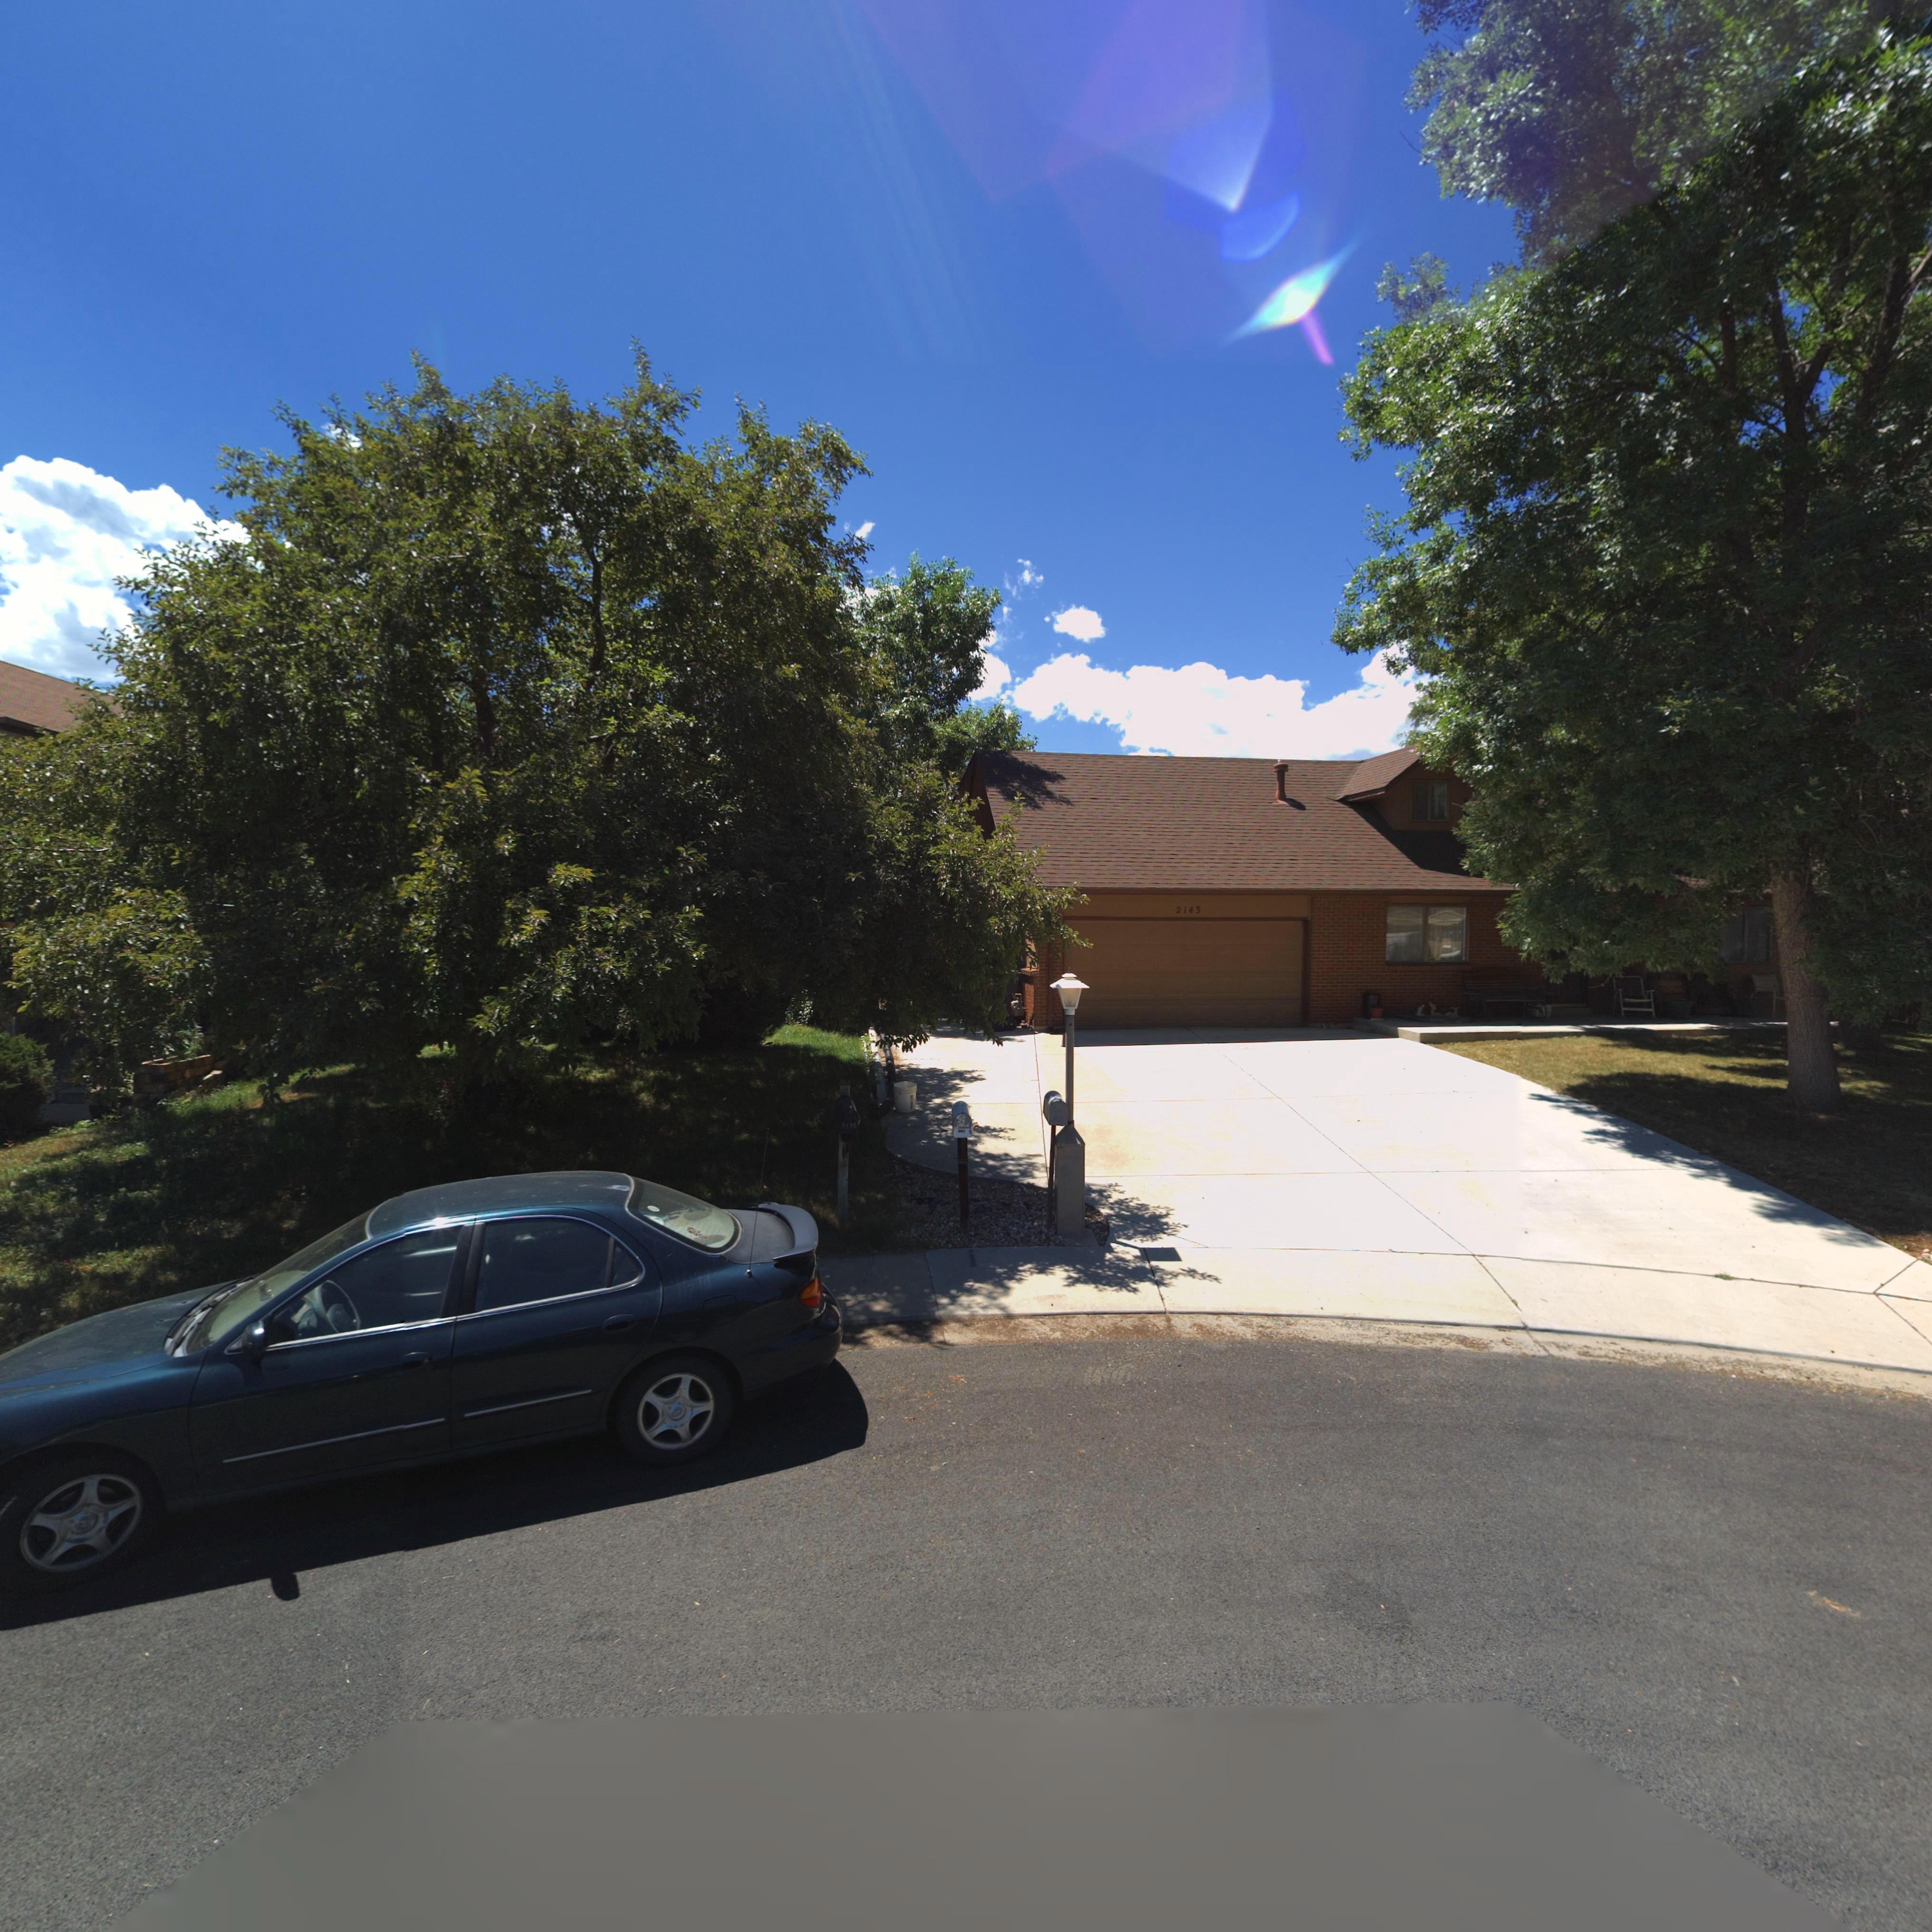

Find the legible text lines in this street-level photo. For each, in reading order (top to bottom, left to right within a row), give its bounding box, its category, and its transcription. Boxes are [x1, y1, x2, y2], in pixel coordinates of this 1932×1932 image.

[1175, 905, 1201, 914] StreetNumber: 2143
[840, 1122, 856, 1129] StreetNumber: 21**